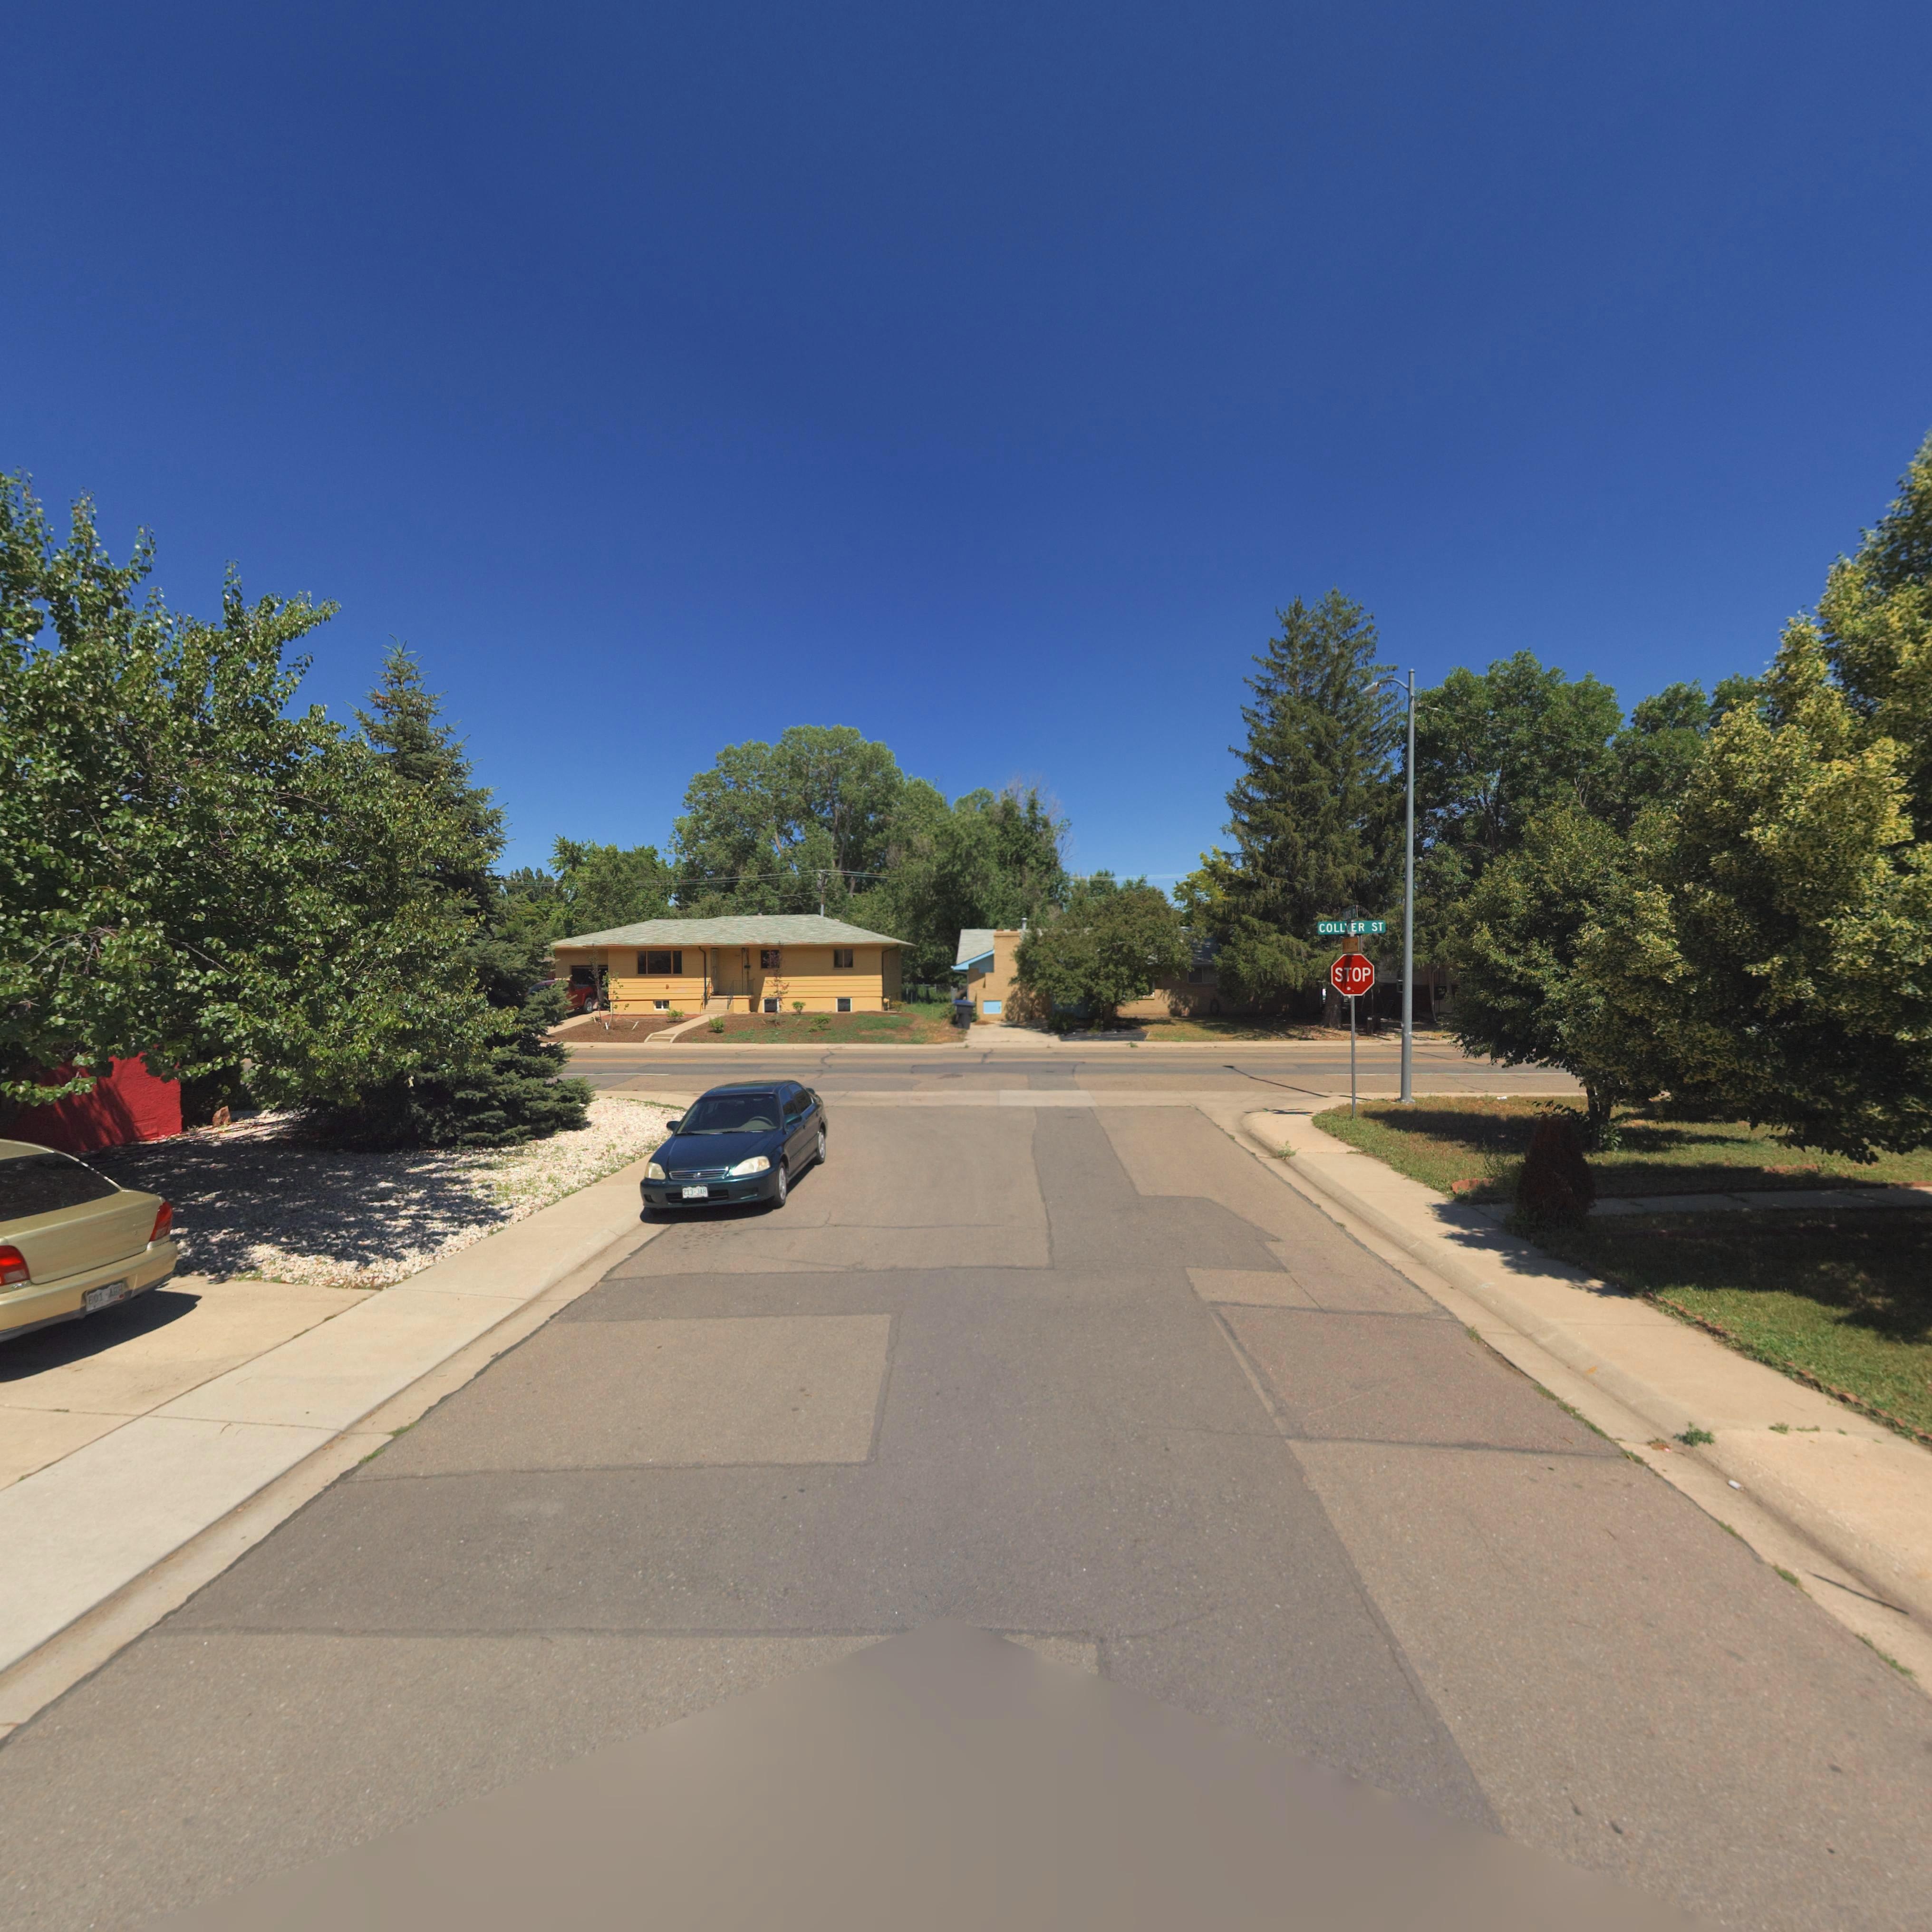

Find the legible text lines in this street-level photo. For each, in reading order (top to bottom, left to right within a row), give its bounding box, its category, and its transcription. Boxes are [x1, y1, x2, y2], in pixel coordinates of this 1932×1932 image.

[1343, 908, 1357, 921] StreetName: ***S PL
[1318, 922, 1383, 933] StreetName: COLLYER ST